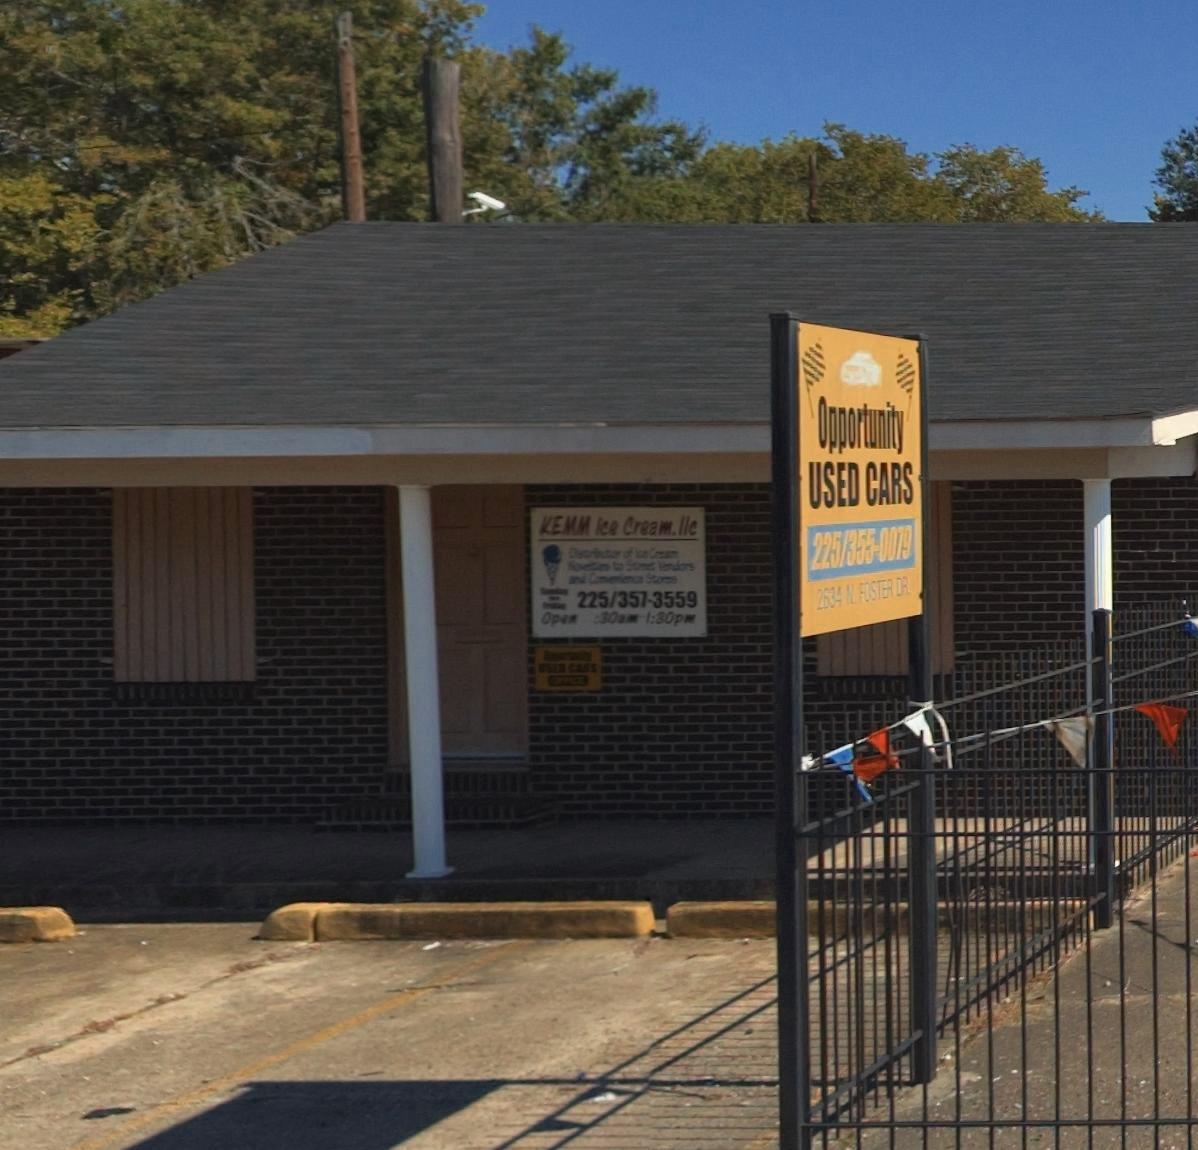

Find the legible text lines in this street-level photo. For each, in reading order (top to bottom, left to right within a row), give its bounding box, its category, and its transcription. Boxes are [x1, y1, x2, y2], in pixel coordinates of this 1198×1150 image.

[815, 391, 906, 456] BusinessName: Opportunity
[805, 458, 918, 513] BusinessName: USED CARS
[536, 512, 699, 539] BusinessName: KEMM Ice Cream, llc
[808, 522, 914, 573] None: 225/355-0079
[573, 586, 700, 609] None: 225/357-3559
[814, 582, 846, 613] StreetNumber: 2634
[844, 572, 915, 609] StreetName: N FOSTER DR.
[536, 608, 697, 627] None: Open *:30am-1:30pm
[535, 660, 599, 674] None: USED CARS